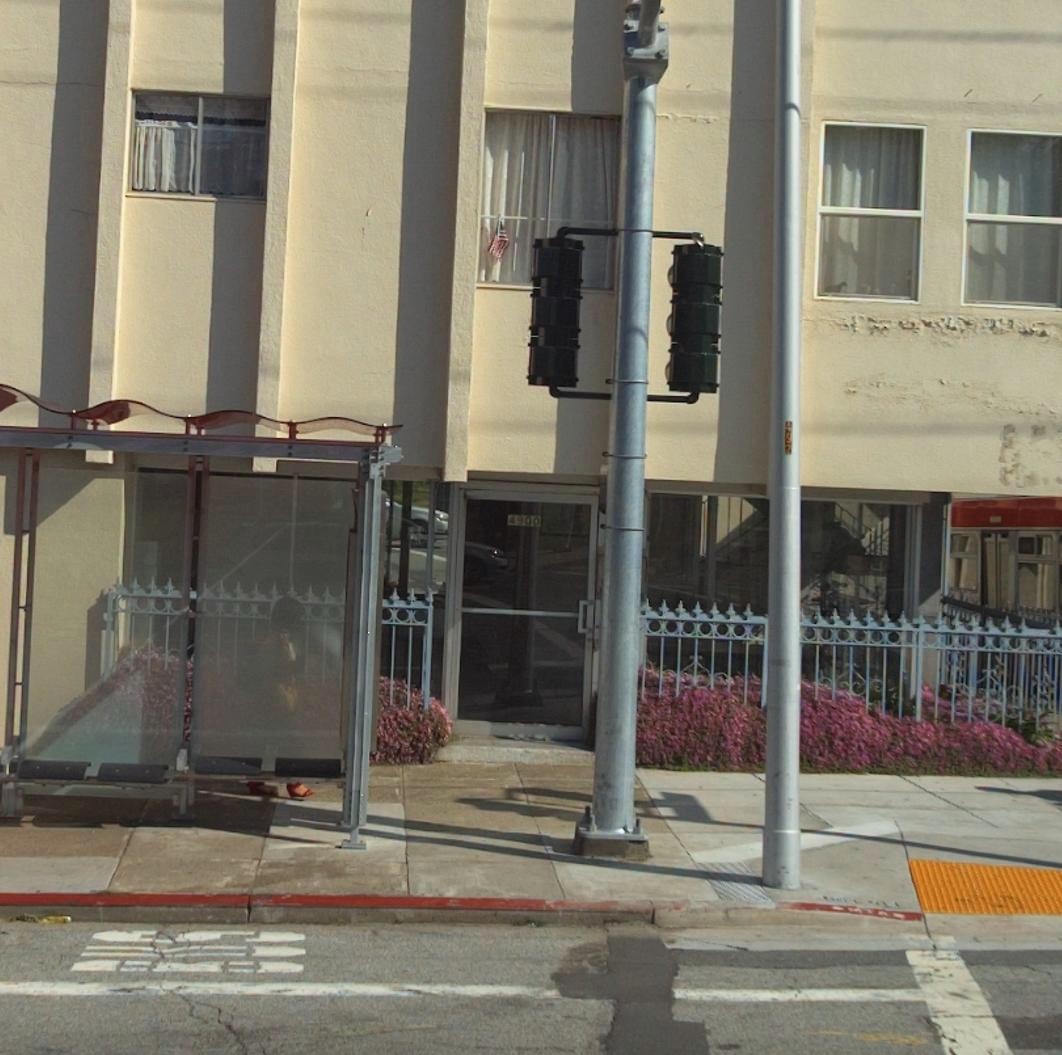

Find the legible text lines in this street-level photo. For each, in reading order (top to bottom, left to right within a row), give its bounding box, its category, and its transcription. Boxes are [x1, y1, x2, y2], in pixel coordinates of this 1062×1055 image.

[782, 418, 793, 454] None: 492
[506, 514, 541, 528] StreetNumber: 4900